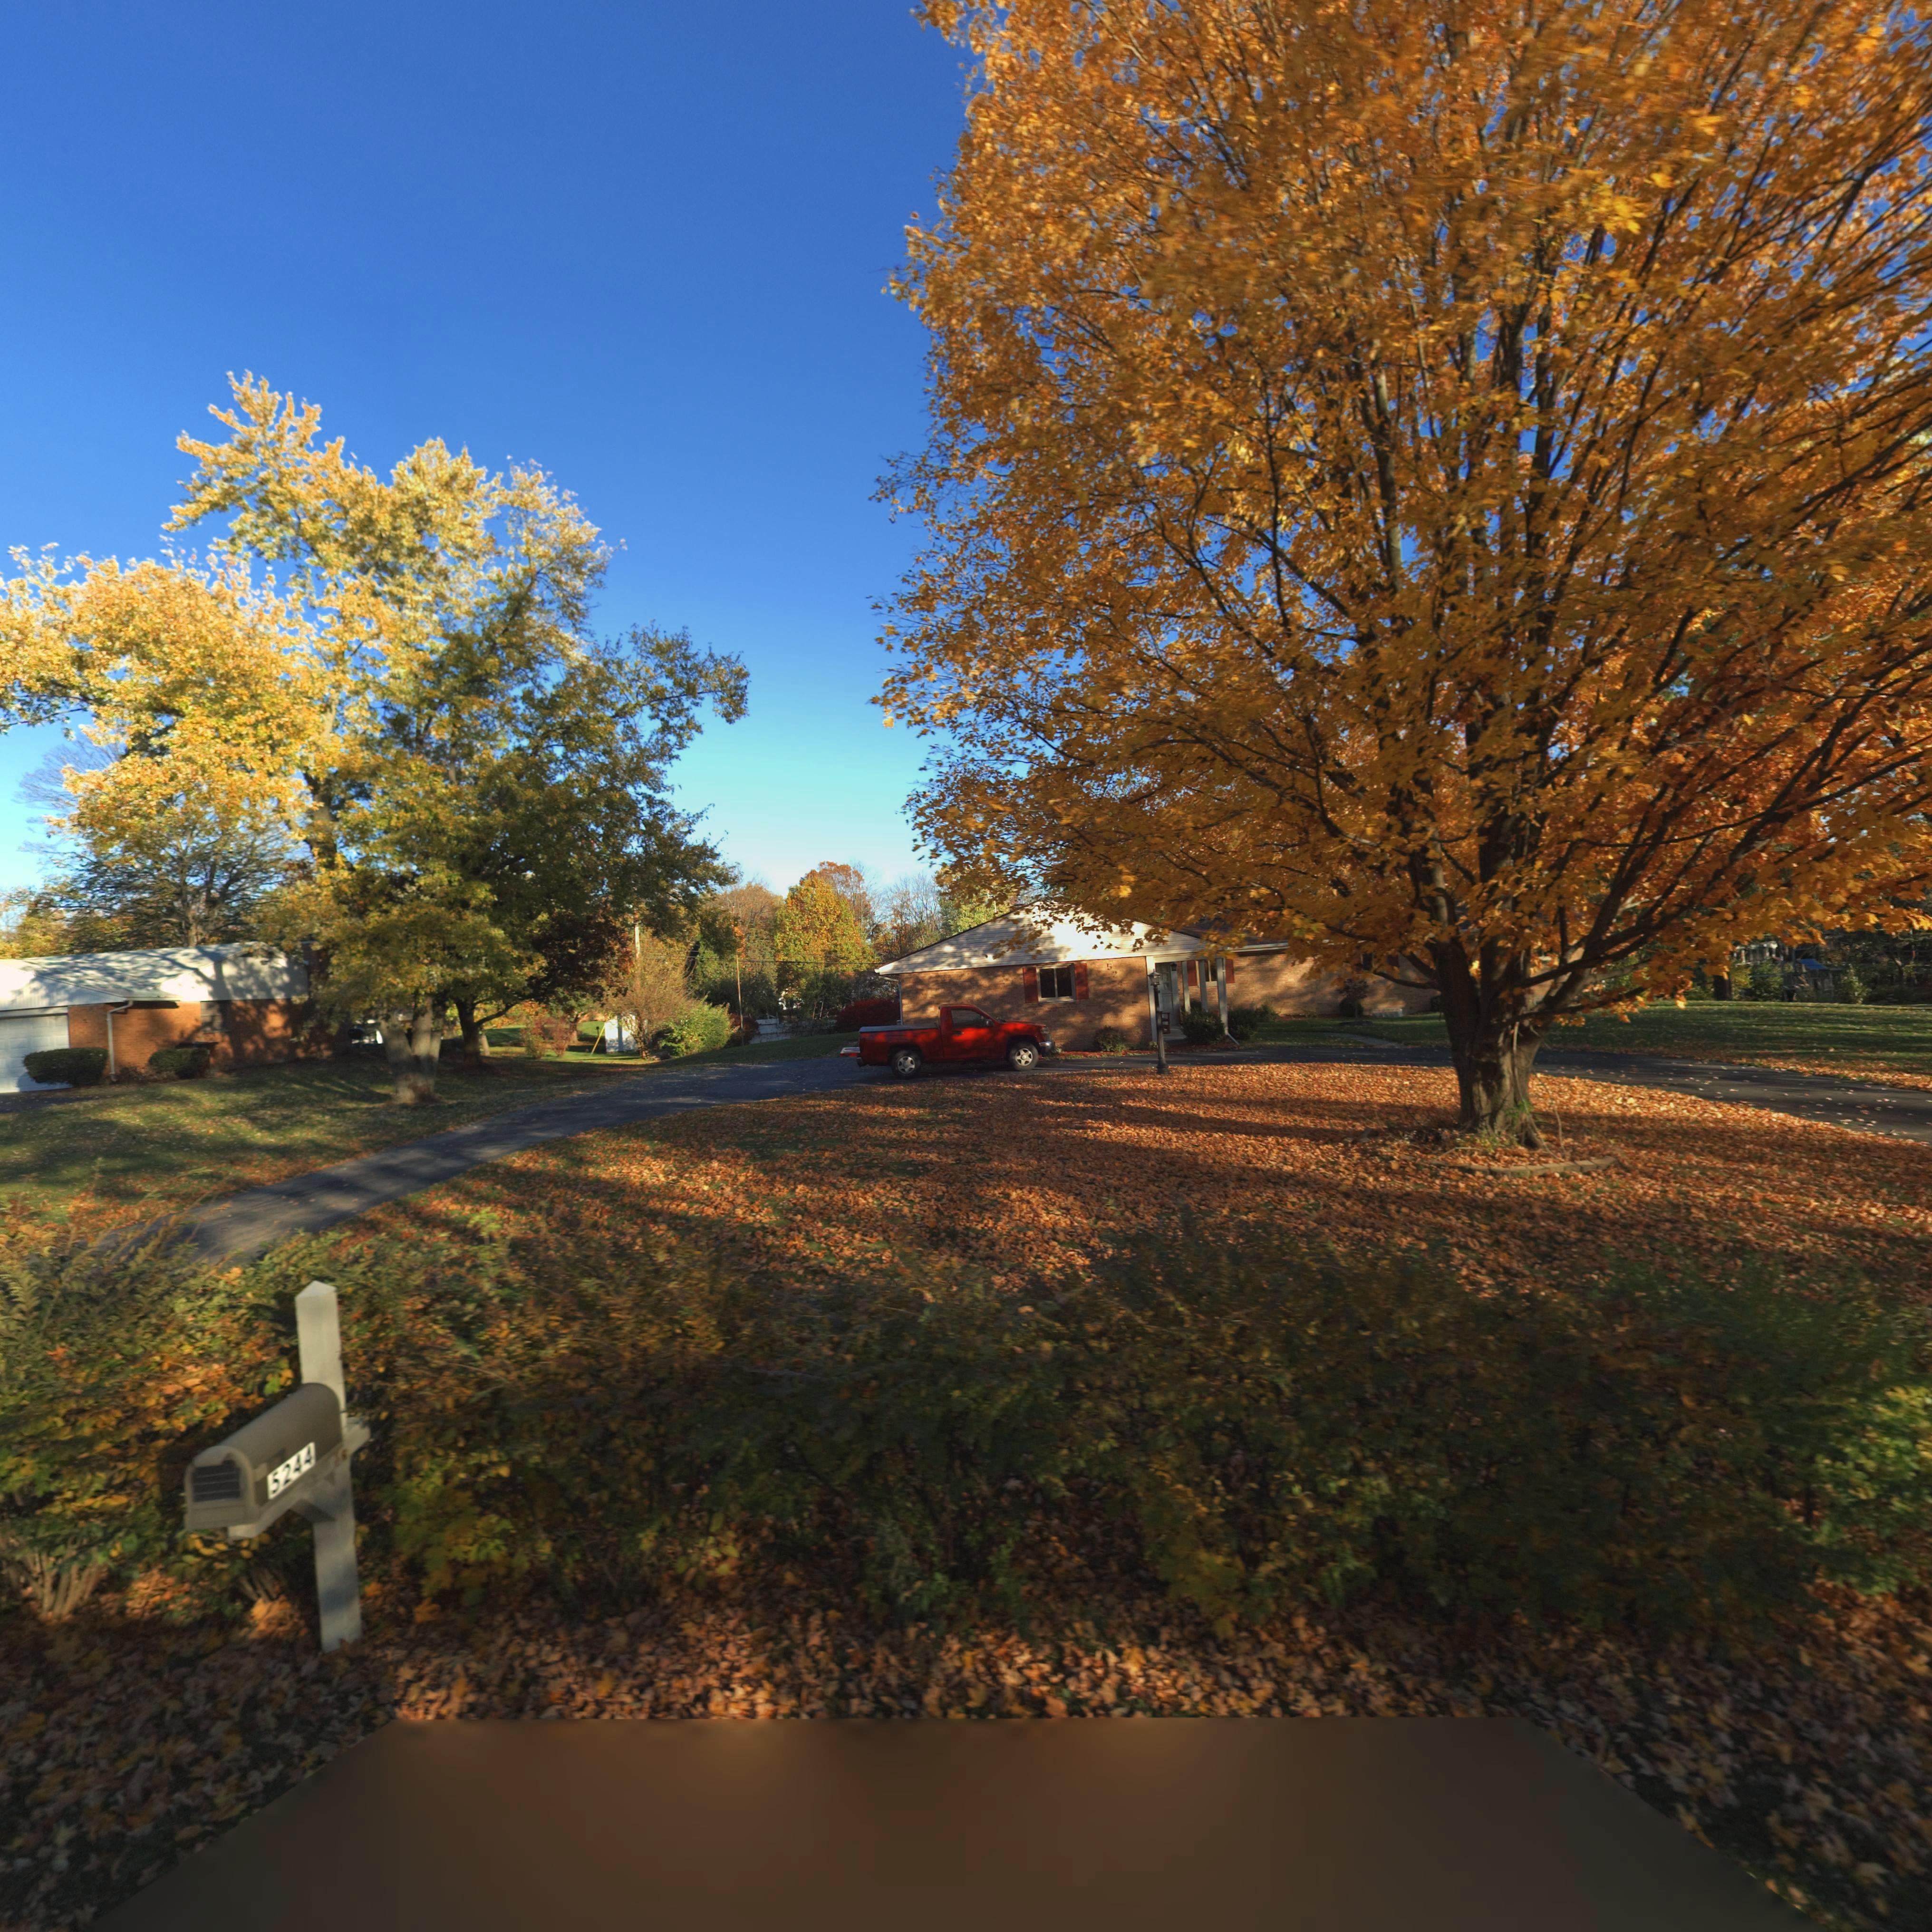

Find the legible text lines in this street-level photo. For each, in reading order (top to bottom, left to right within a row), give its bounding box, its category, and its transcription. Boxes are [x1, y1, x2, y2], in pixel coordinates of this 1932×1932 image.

[269, 1443, 316, 1497] StreetNumber: 5244